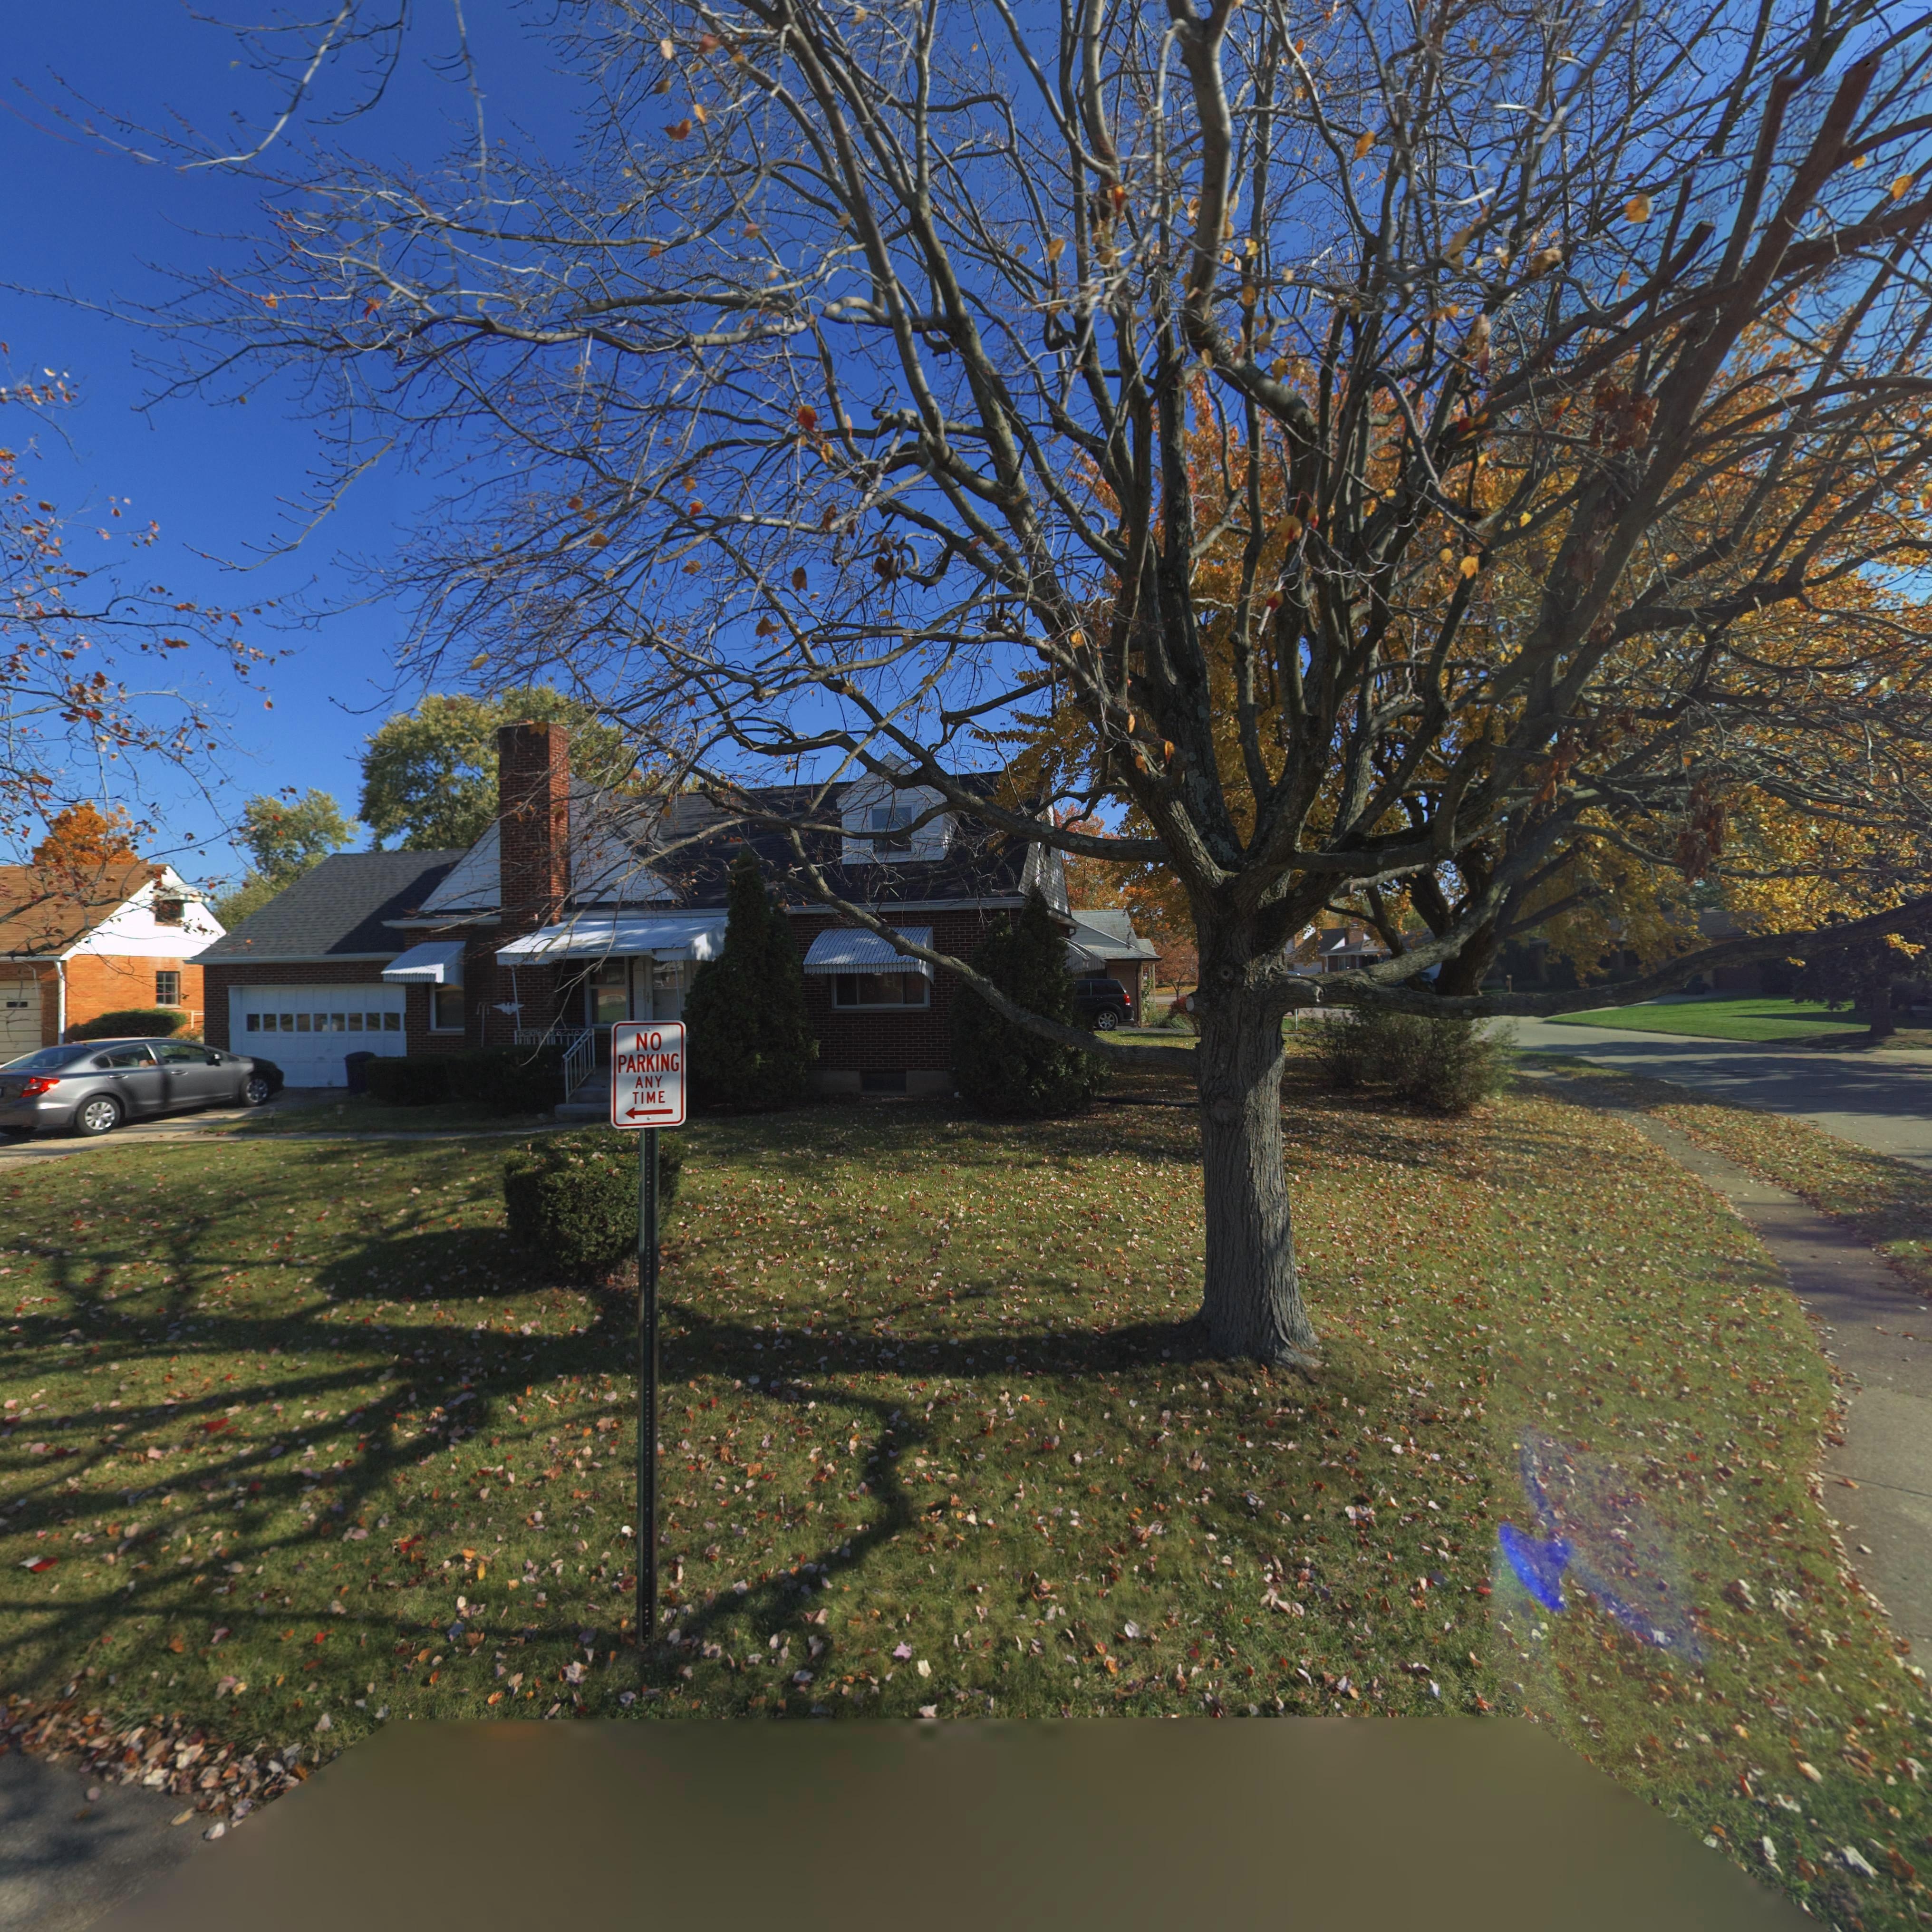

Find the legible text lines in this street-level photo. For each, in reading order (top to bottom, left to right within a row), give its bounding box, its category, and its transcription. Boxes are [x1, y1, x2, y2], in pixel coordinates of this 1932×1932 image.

[521, 955, 540, 962] StreetNumber: 3*3*
[636, 1032, 663, 1051] None: NO
[618, 1053, 680, 1074] None: PARKING
[635, 1075, 663, 1089] None: ANY
[631, 1090, 666, 1105] None: TIME